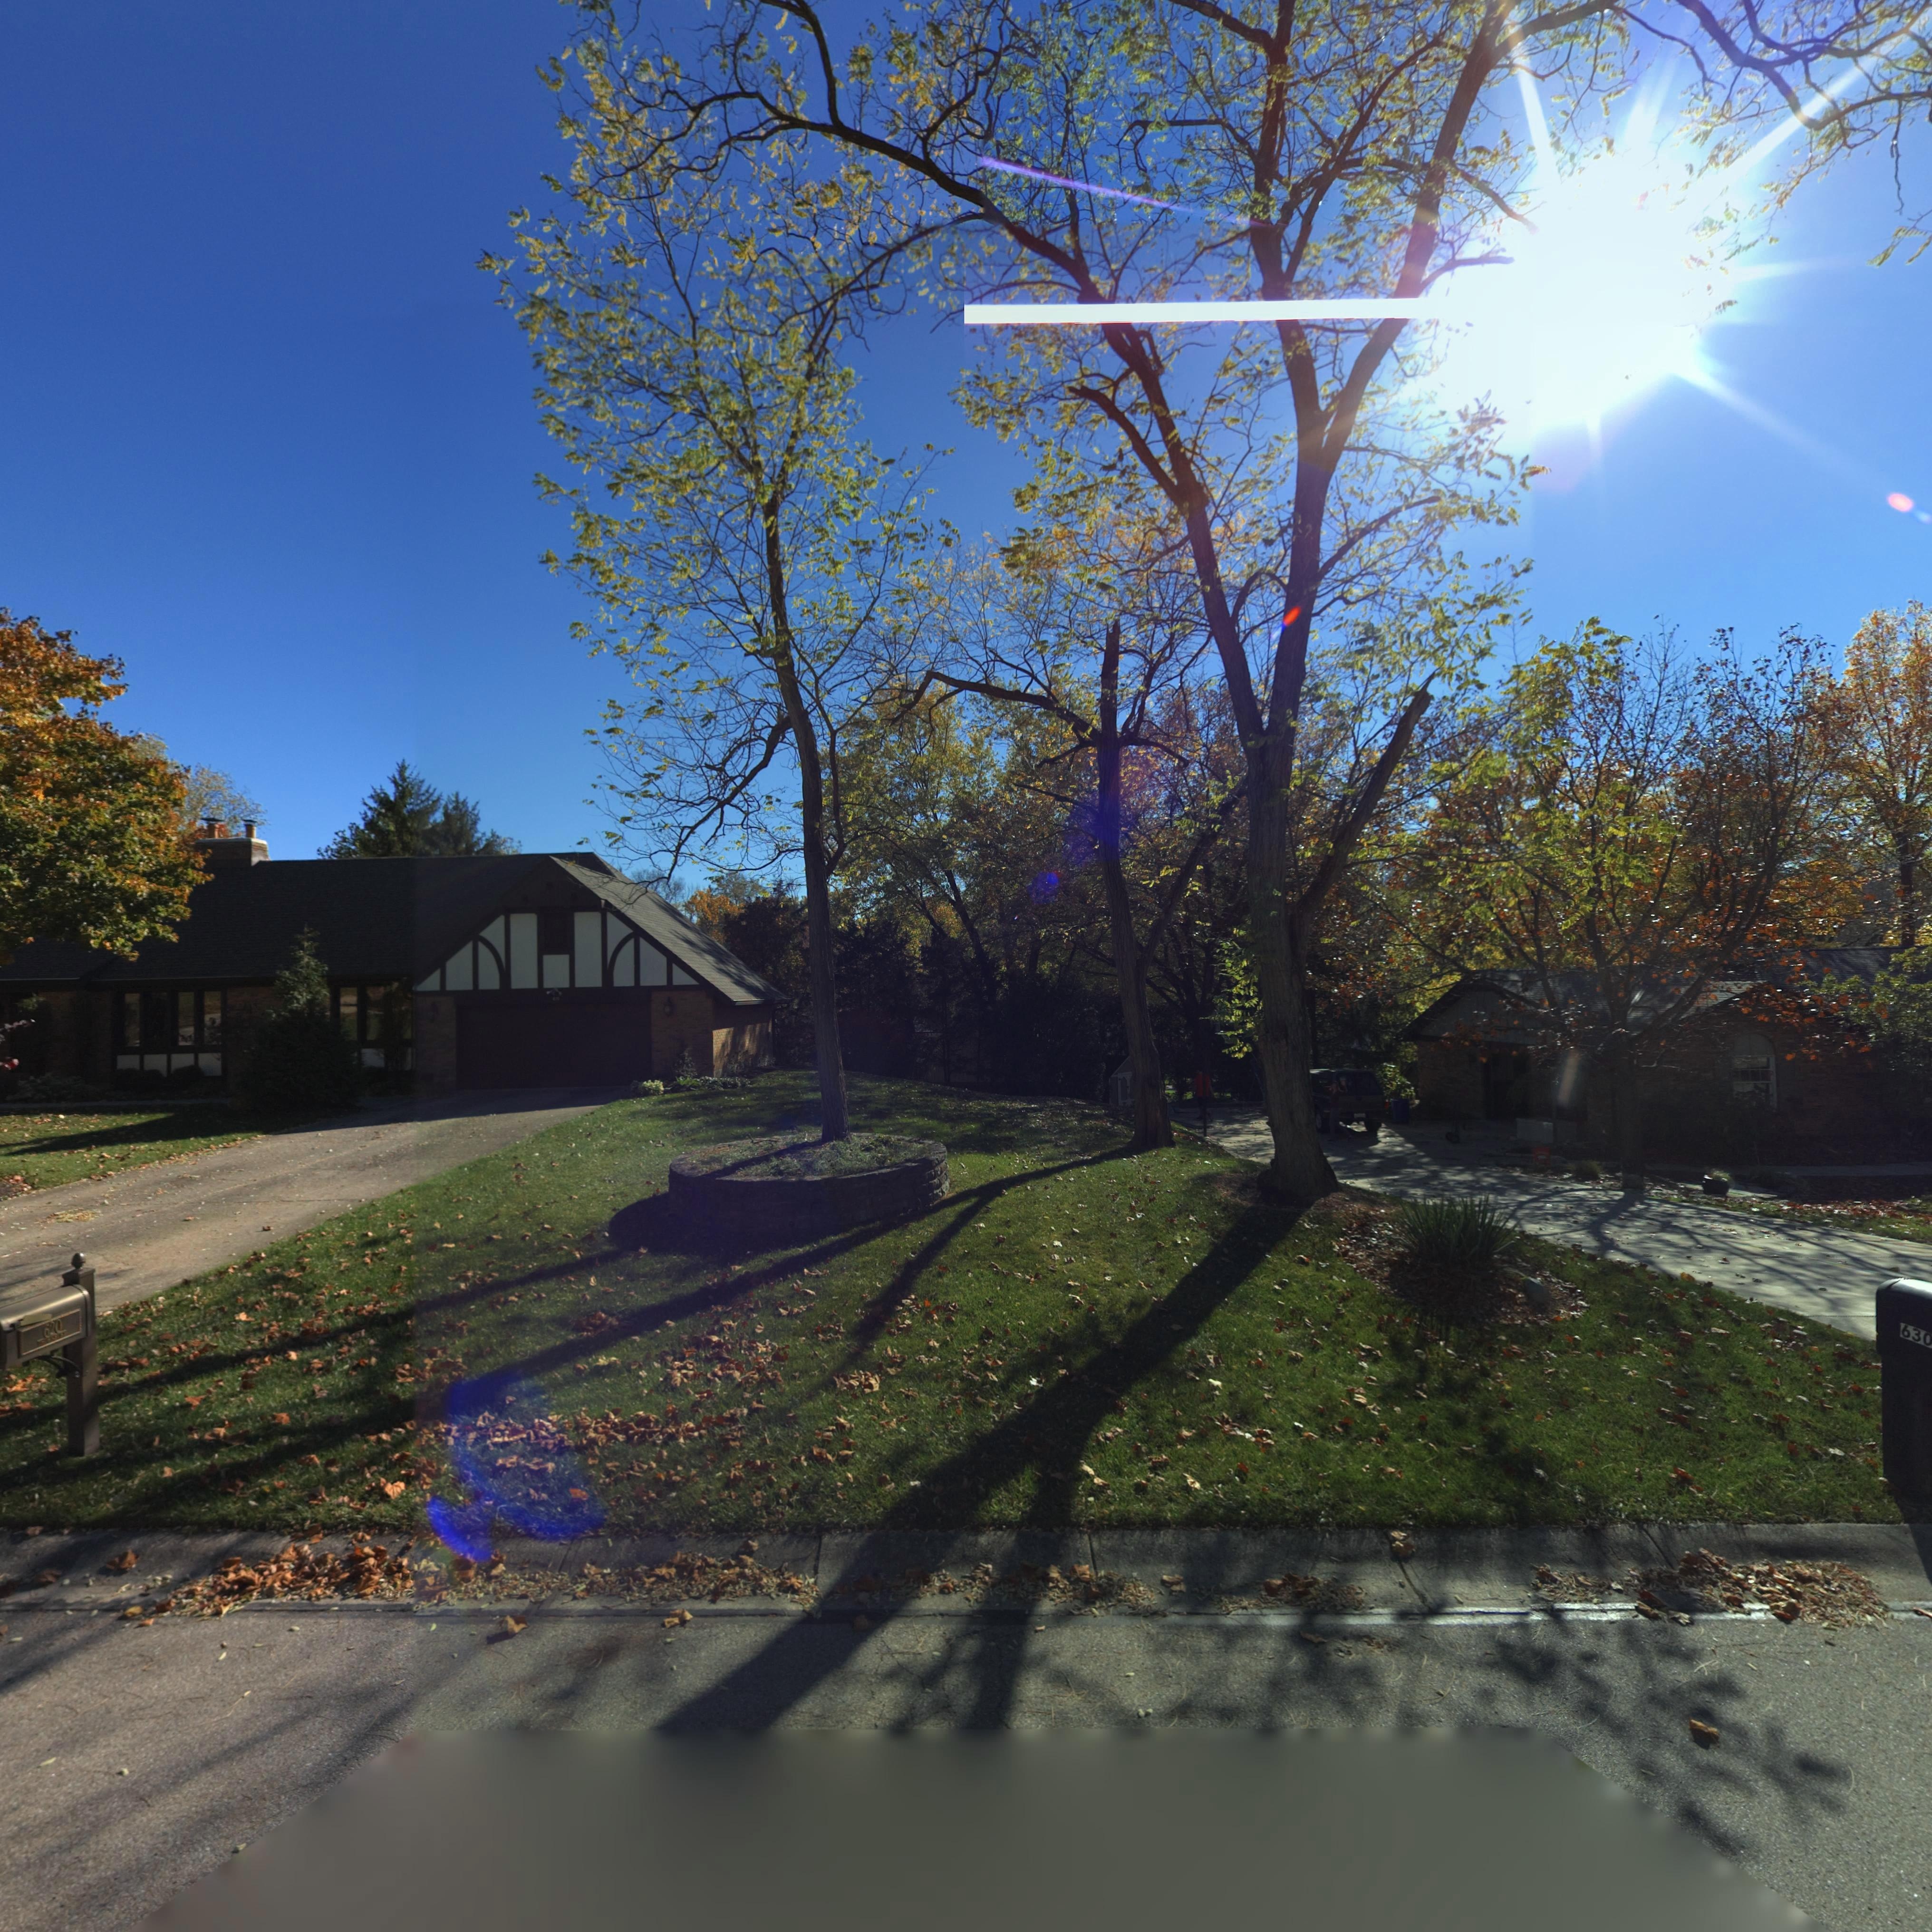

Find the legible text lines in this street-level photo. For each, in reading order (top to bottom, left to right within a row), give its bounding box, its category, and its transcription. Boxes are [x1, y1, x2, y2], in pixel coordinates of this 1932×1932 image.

[42, 1315, 64, 1340] StreetNumber: 620
[1900, 1322, 1923, 1345] StreetNumber: 63